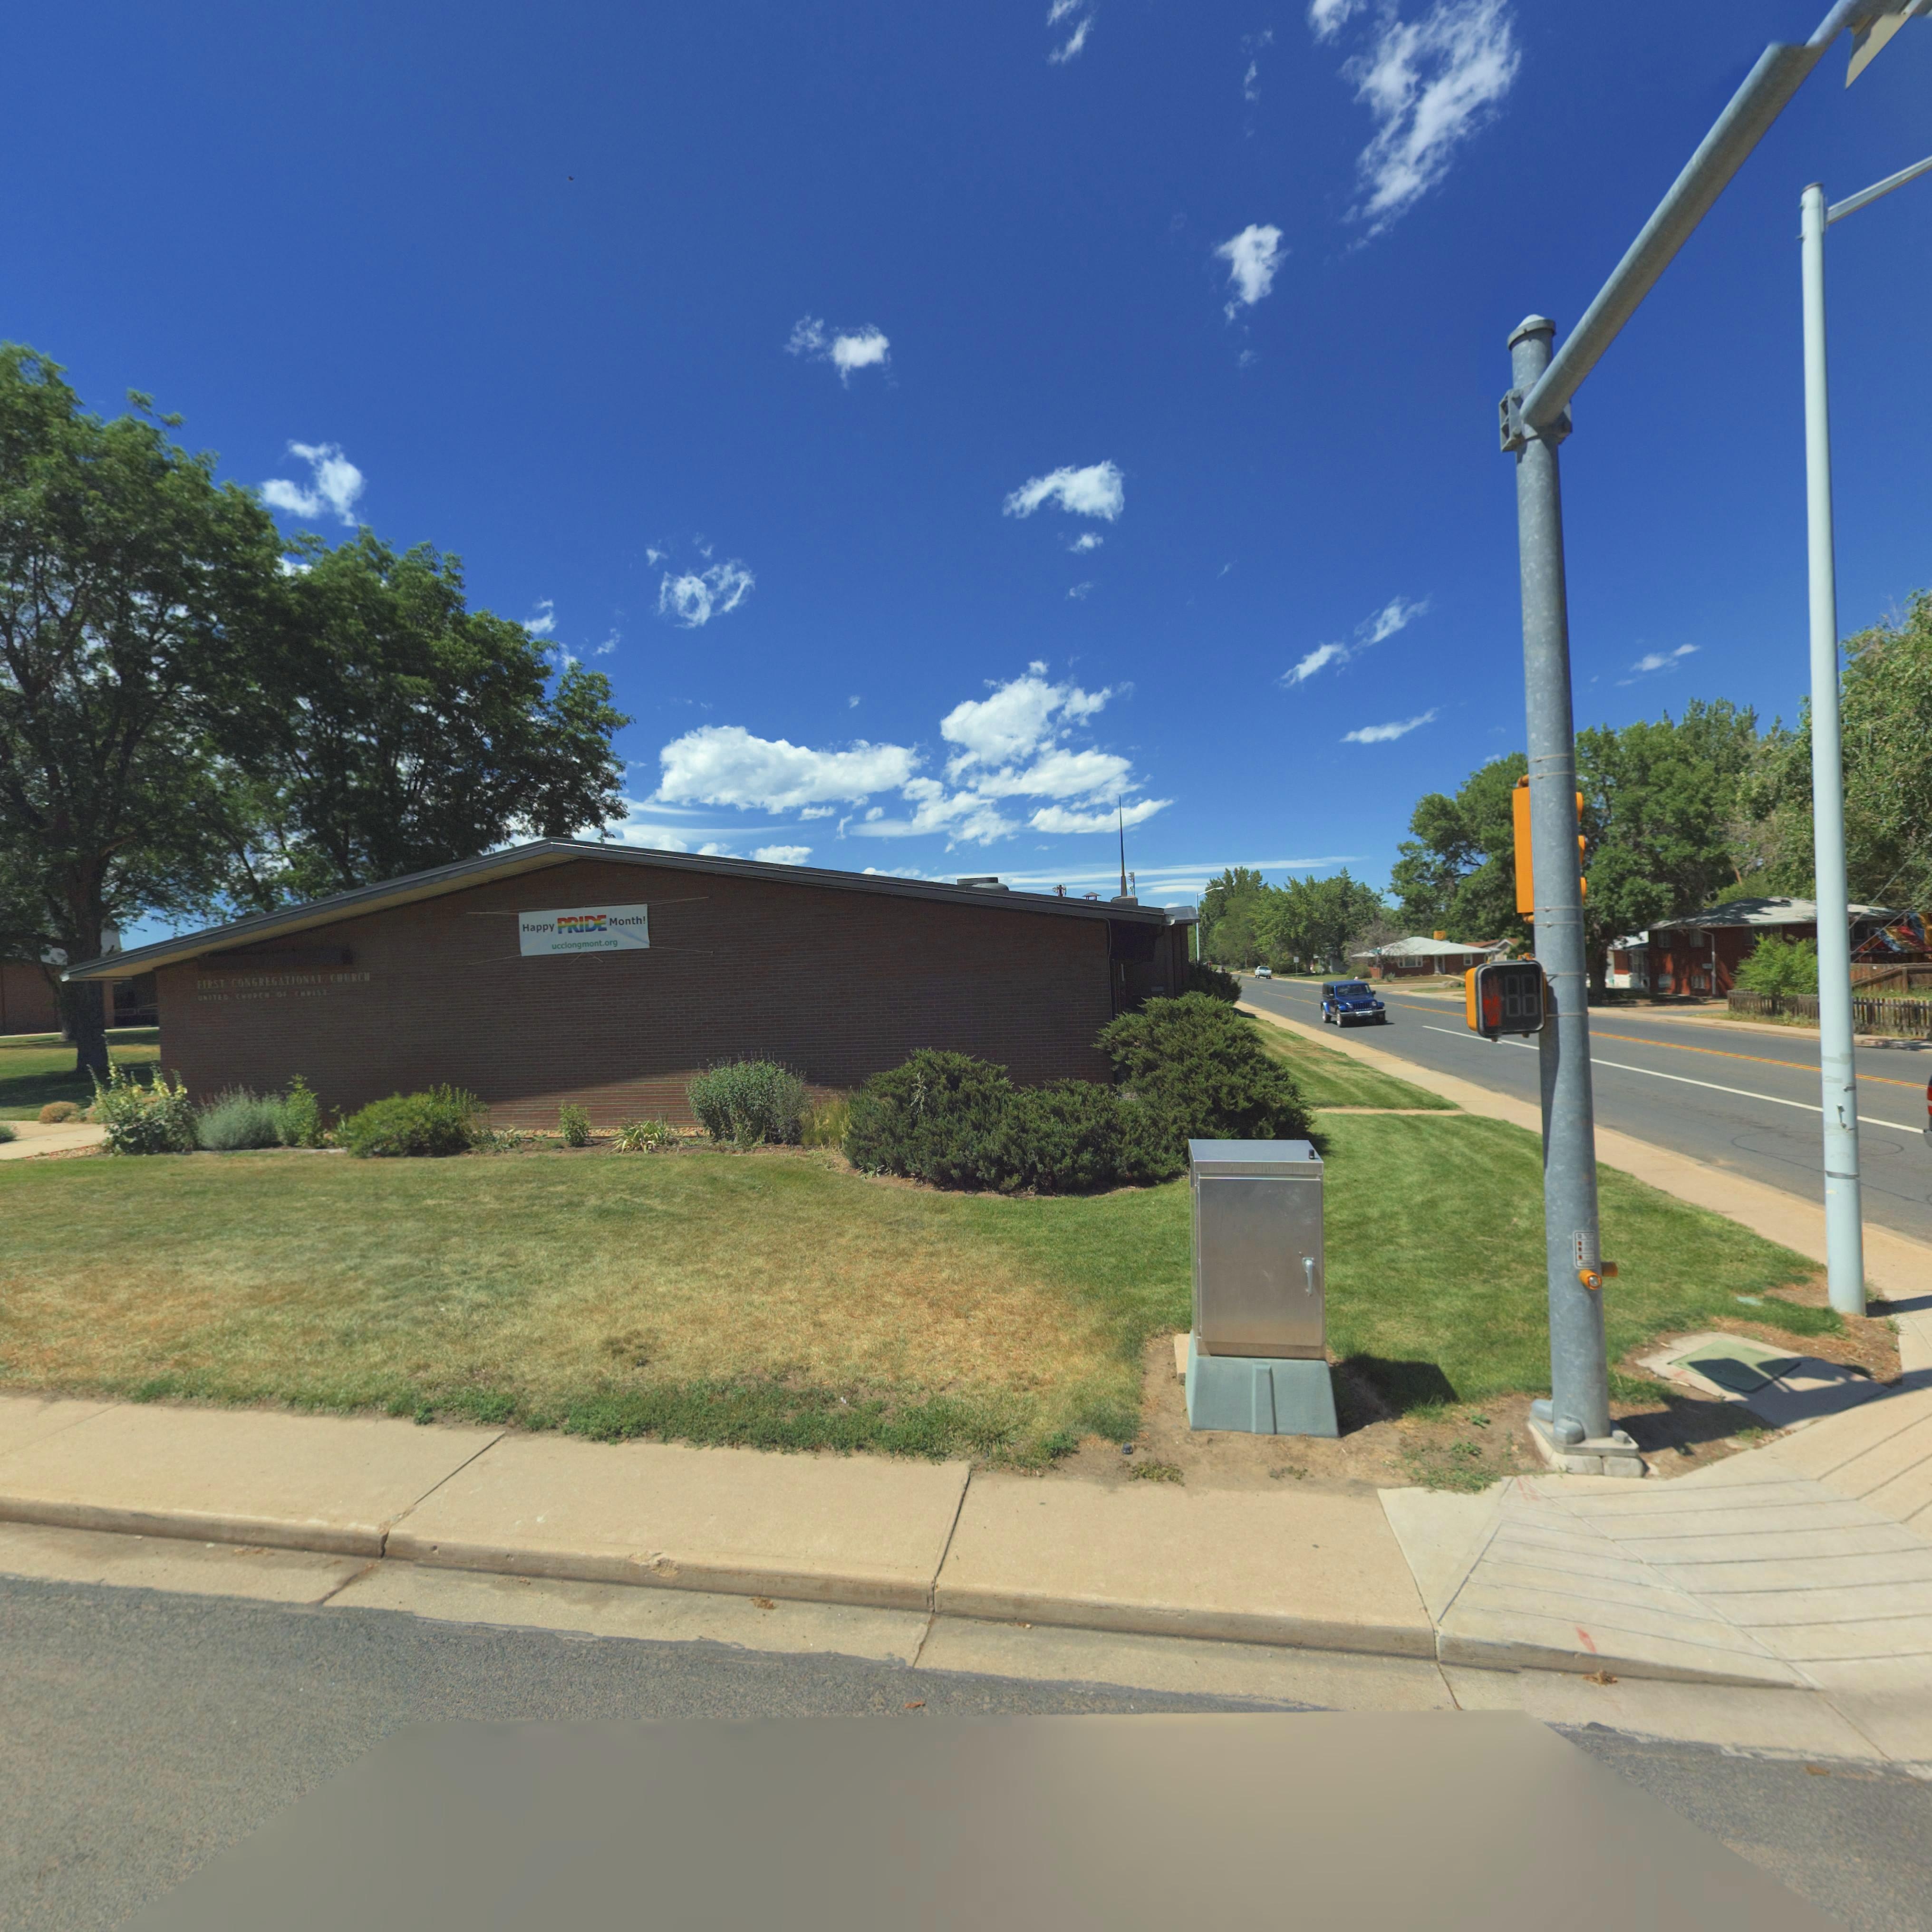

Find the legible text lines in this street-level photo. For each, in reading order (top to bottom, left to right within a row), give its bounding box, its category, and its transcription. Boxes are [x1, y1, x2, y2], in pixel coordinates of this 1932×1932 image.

[196, 971, 370, 990] BusinessName: FIRST CONGREGATIONAL CHURCH